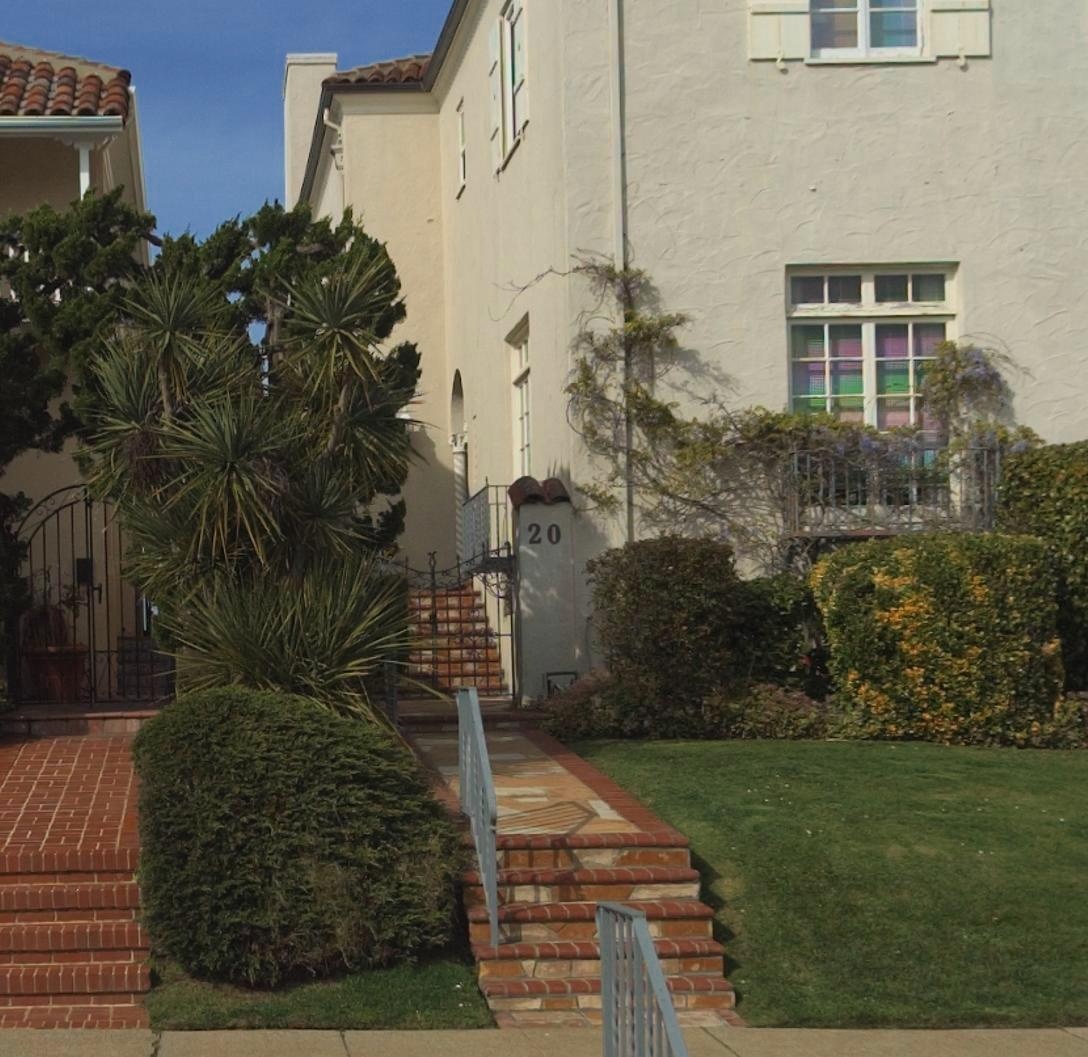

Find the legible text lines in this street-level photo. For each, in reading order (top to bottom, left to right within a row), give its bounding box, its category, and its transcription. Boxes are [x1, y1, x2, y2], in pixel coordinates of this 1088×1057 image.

[526, 521, 563, 546] StreetNumber: 20